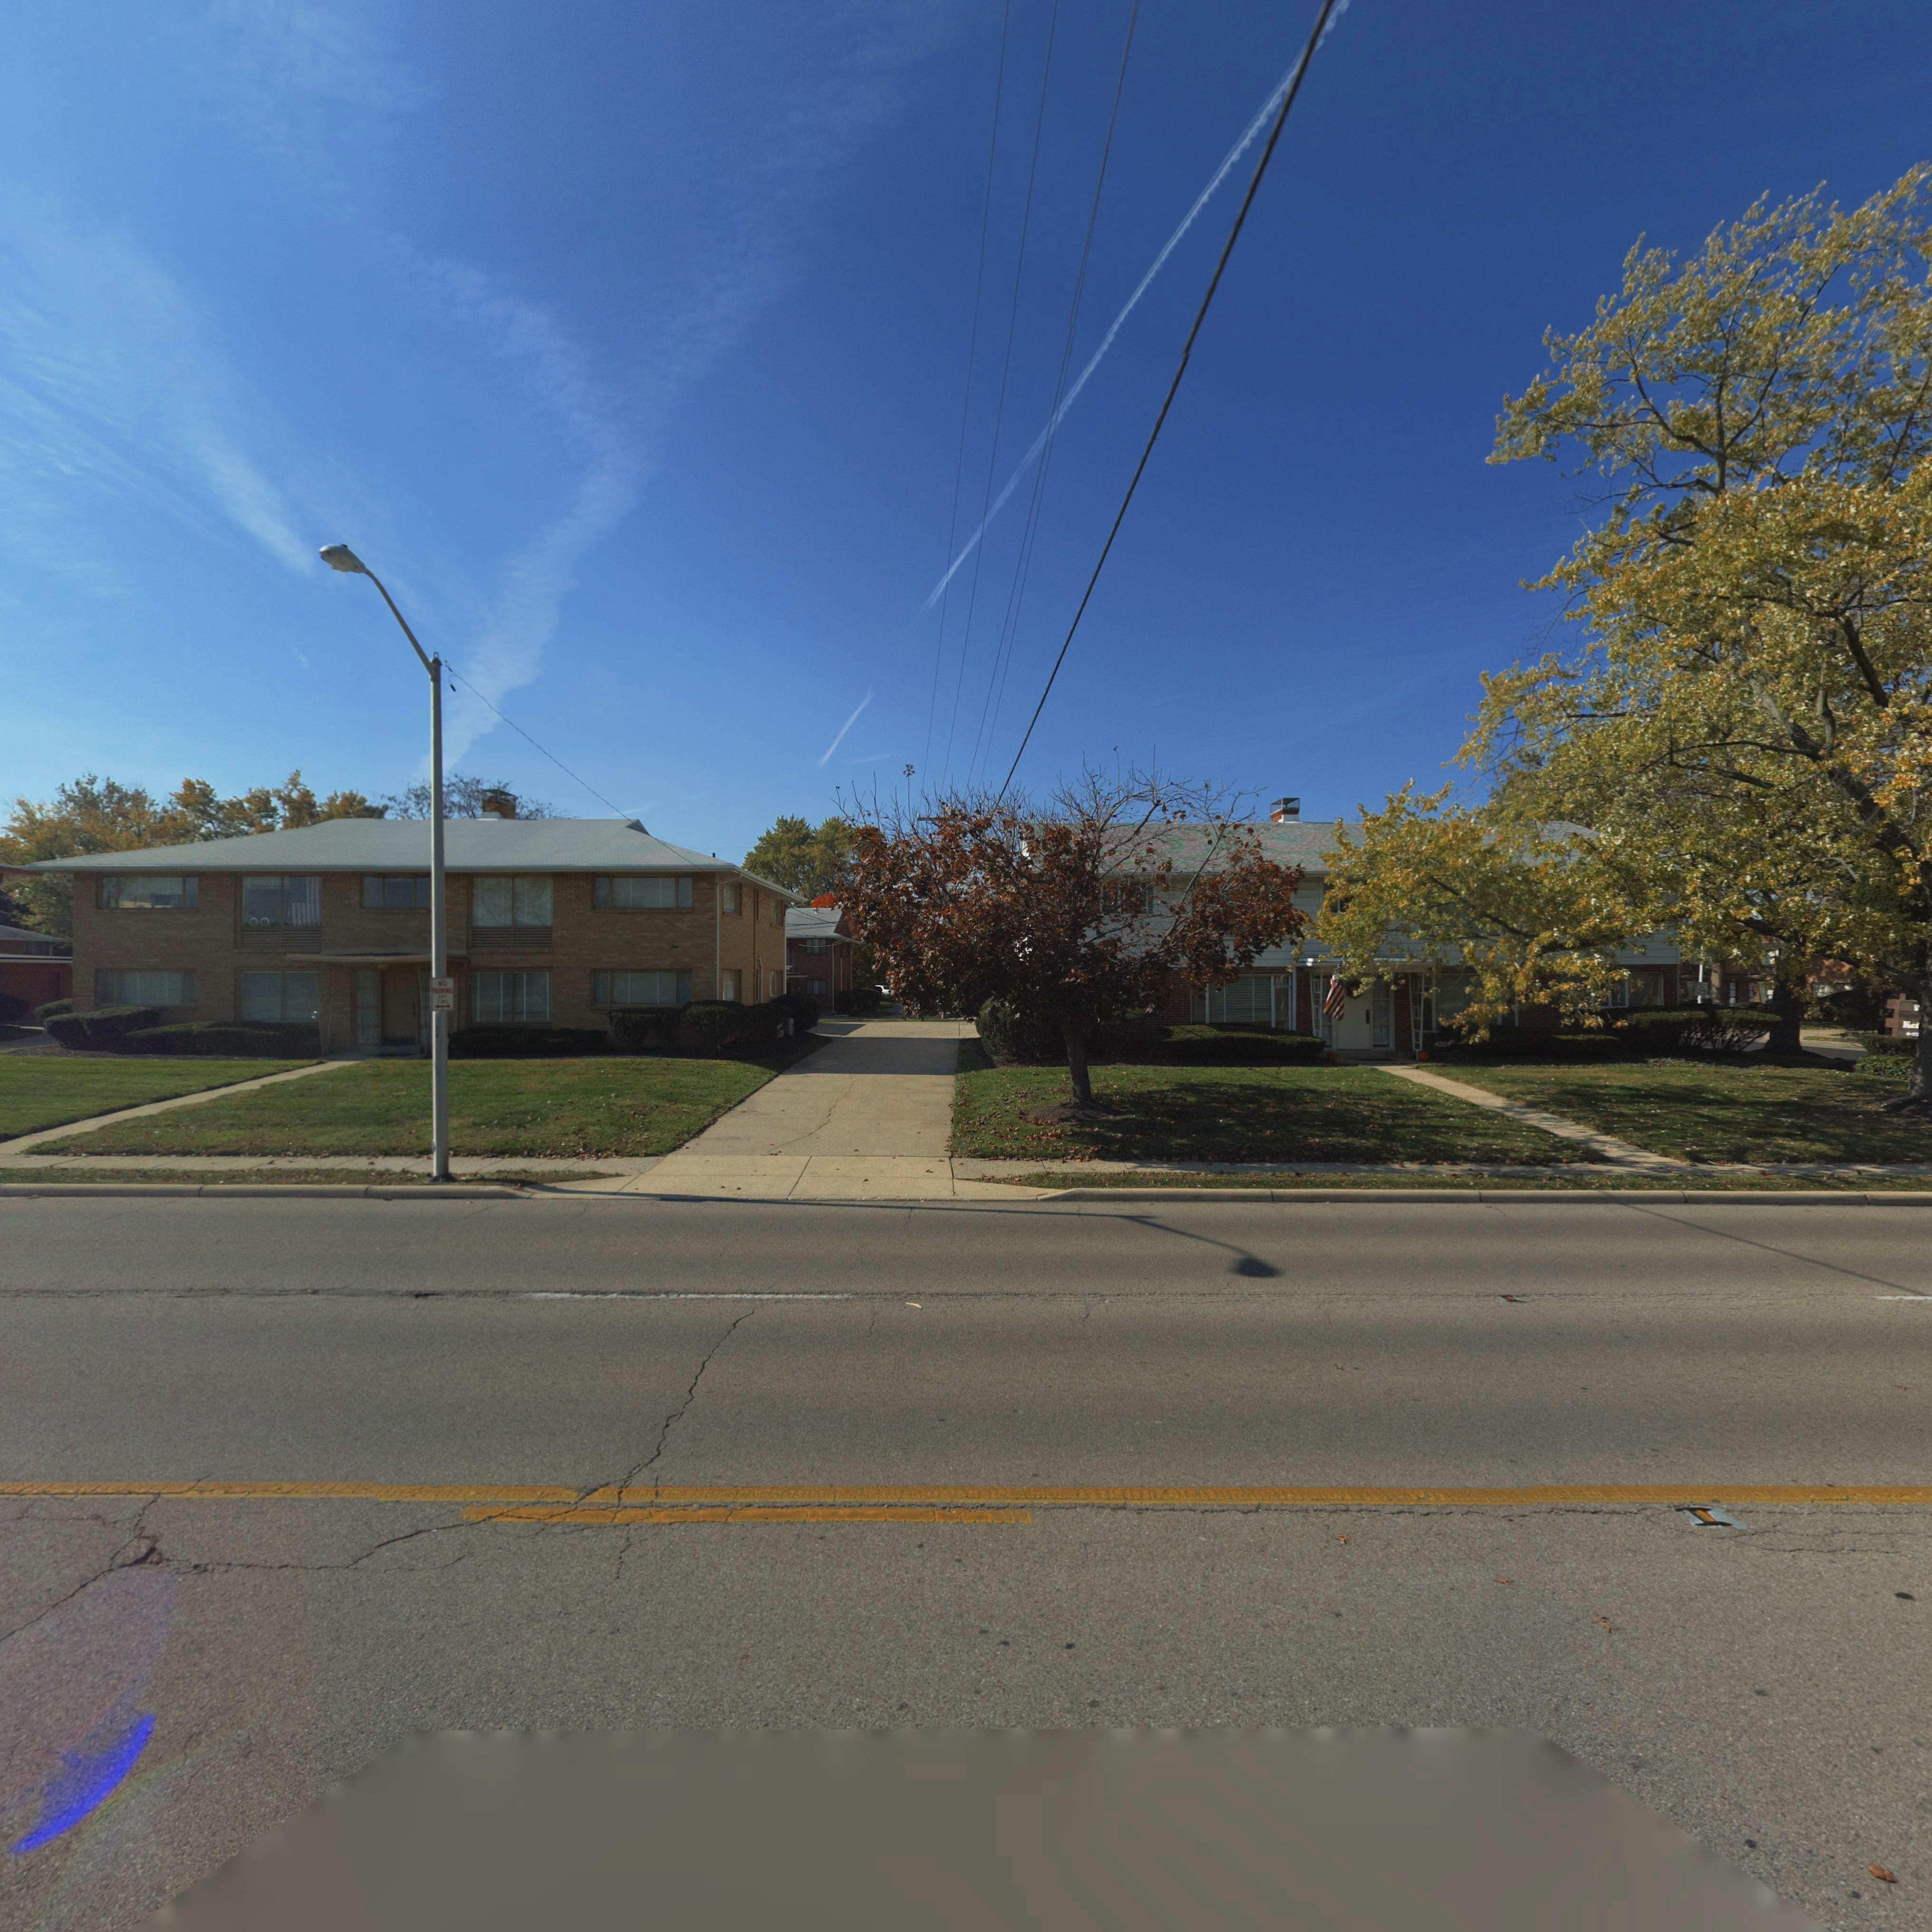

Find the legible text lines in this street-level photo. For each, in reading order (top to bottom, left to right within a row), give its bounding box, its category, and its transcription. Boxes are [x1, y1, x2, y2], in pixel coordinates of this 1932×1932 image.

[437, 980, 447, 987] None: NO
[432, 987, 453, 994] None: PARKING
[1434, 1041, 1452, 1047] StreetNumber: 4201